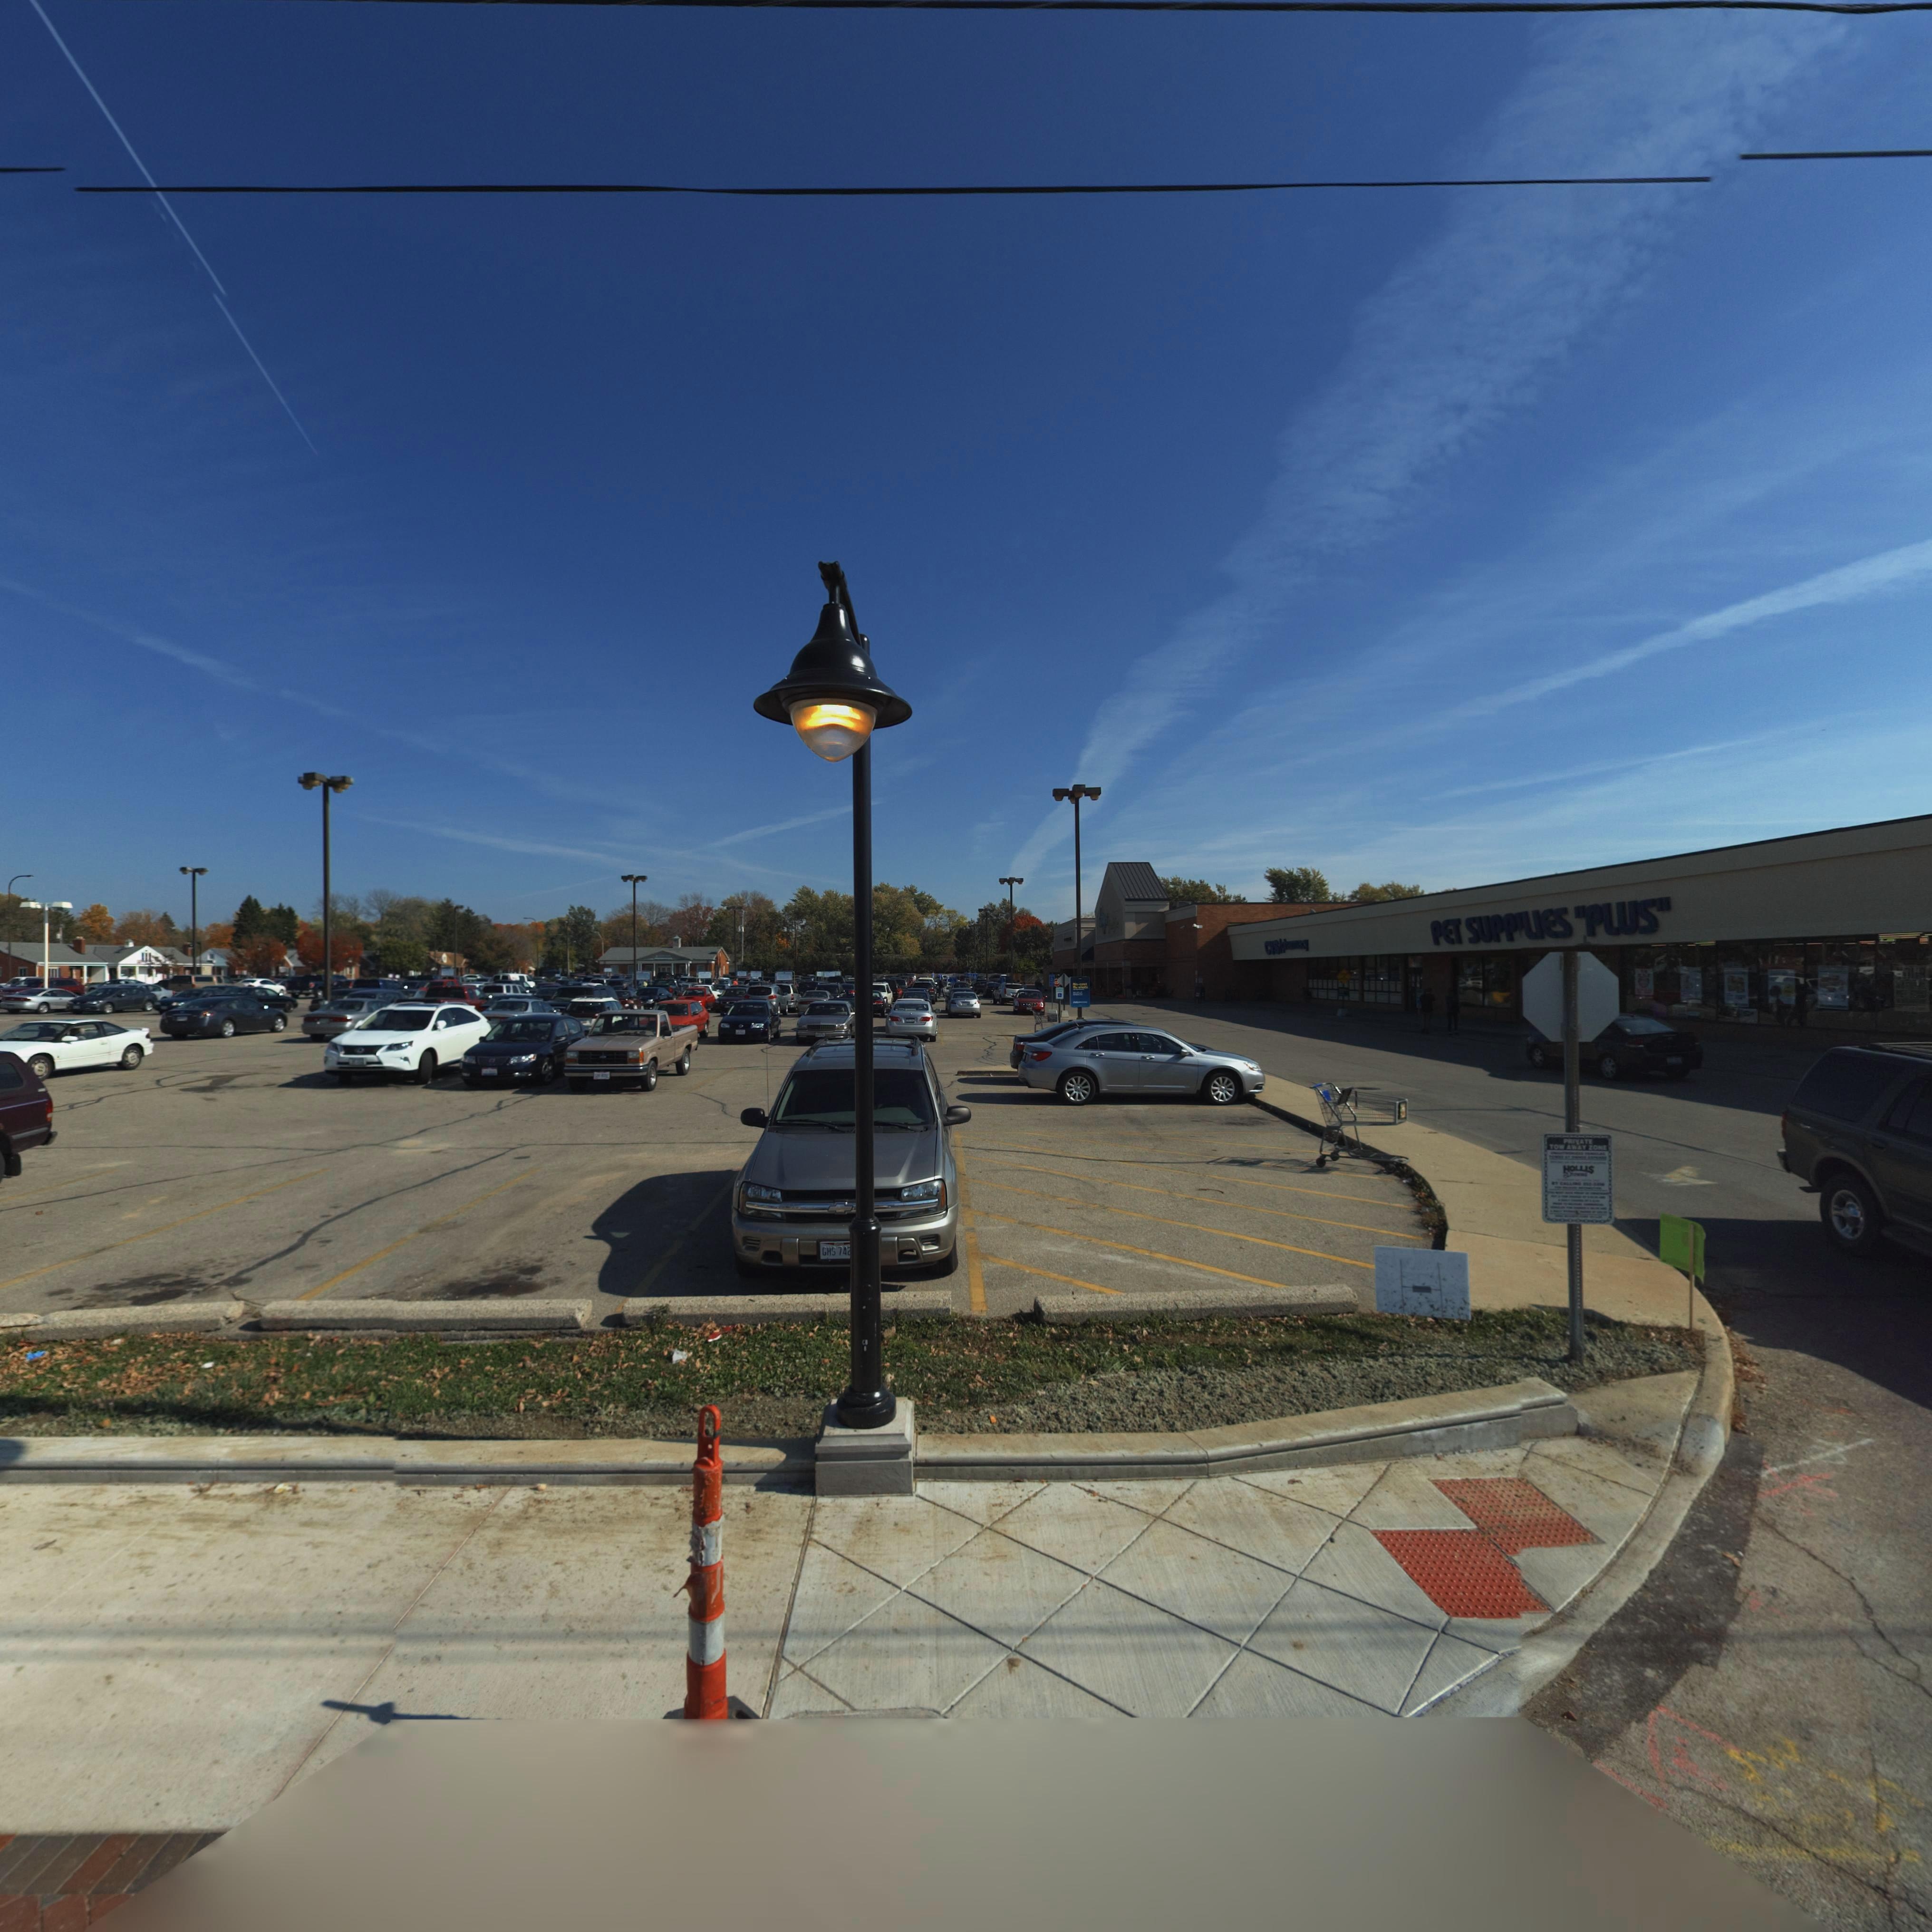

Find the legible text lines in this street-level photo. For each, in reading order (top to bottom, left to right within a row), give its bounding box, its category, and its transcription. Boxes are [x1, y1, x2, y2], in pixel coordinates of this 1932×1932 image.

[1429, 897, 1669, 946] BusinessName: PET SUPPLIES "PLUS"
[1264, 940, 1280, 955] BusinessName: CVS
[1563, 1138, 1593, 1145] None: PRIVATE
[1549, 1143, 1608, 1151] None: TOW AWAY ZONE
[1562, 1164, 1595, 1175] None: HOLLIS
[822, 1246, 847, 1256] None: GHS 74